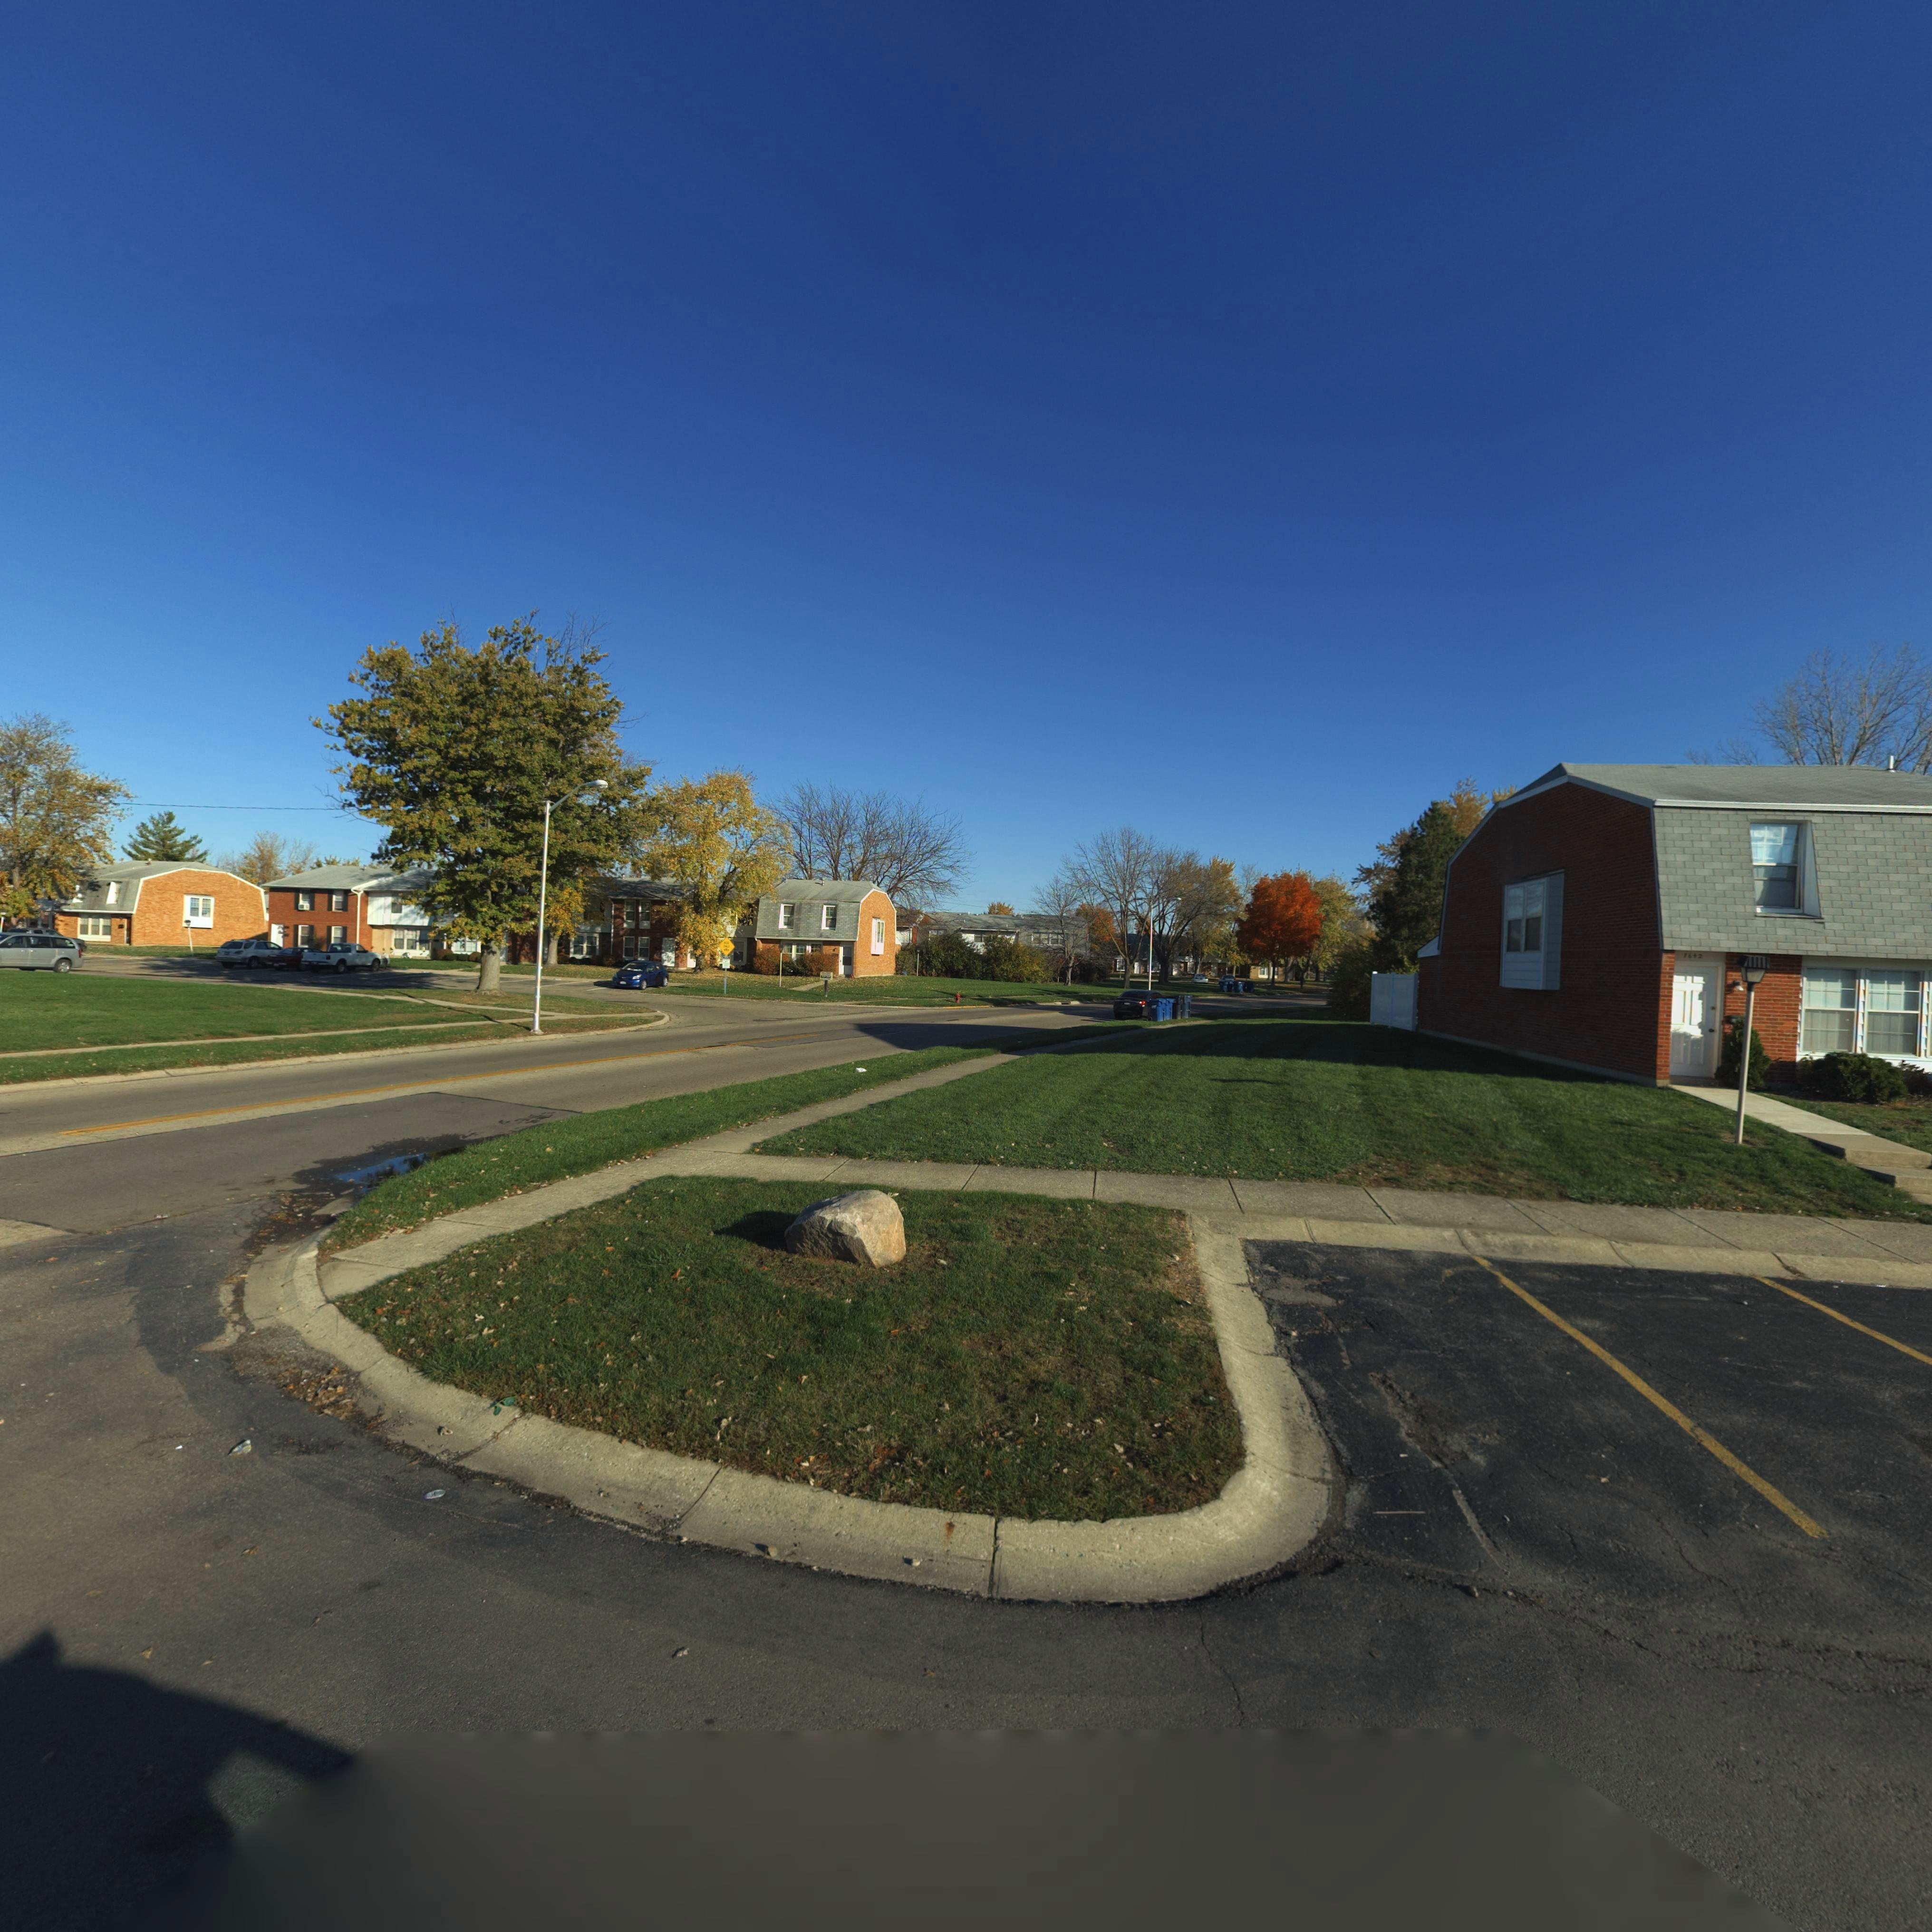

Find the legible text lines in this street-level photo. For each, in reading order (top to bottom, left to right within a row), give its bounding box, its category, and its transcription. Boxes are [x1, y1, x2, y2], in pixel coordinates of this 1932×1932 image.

[1682, 952, 1704, 959] StreetNumber: 7642